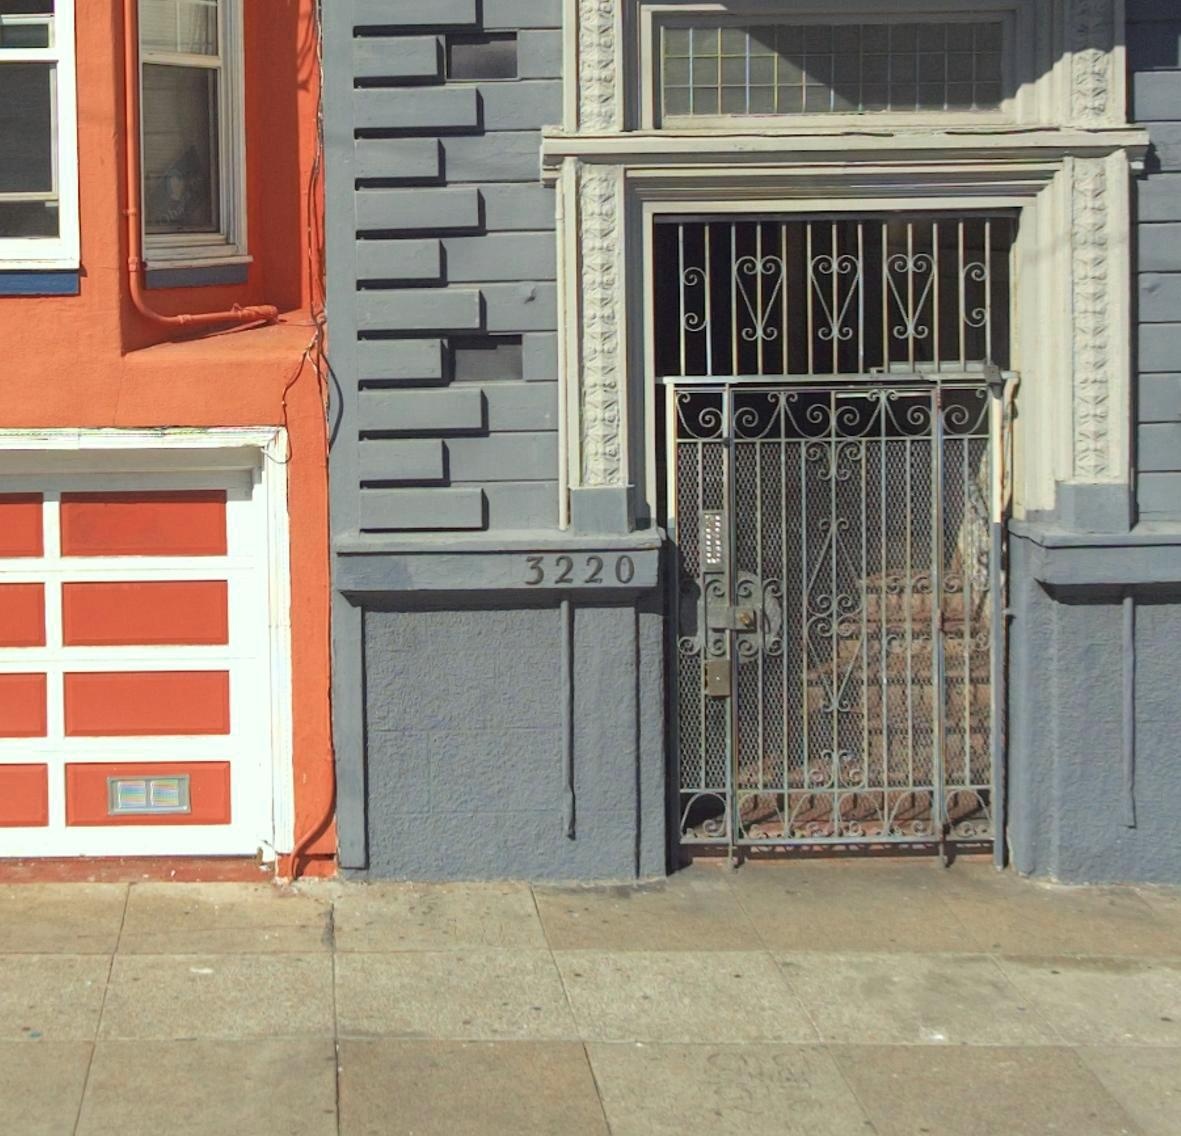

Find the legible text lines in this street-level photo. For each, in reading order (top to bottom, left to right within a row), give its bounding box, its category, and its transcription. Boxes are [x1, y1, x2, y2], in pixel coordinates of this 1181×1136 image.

[522, 554, 636, 586] StreetNumber: 3220